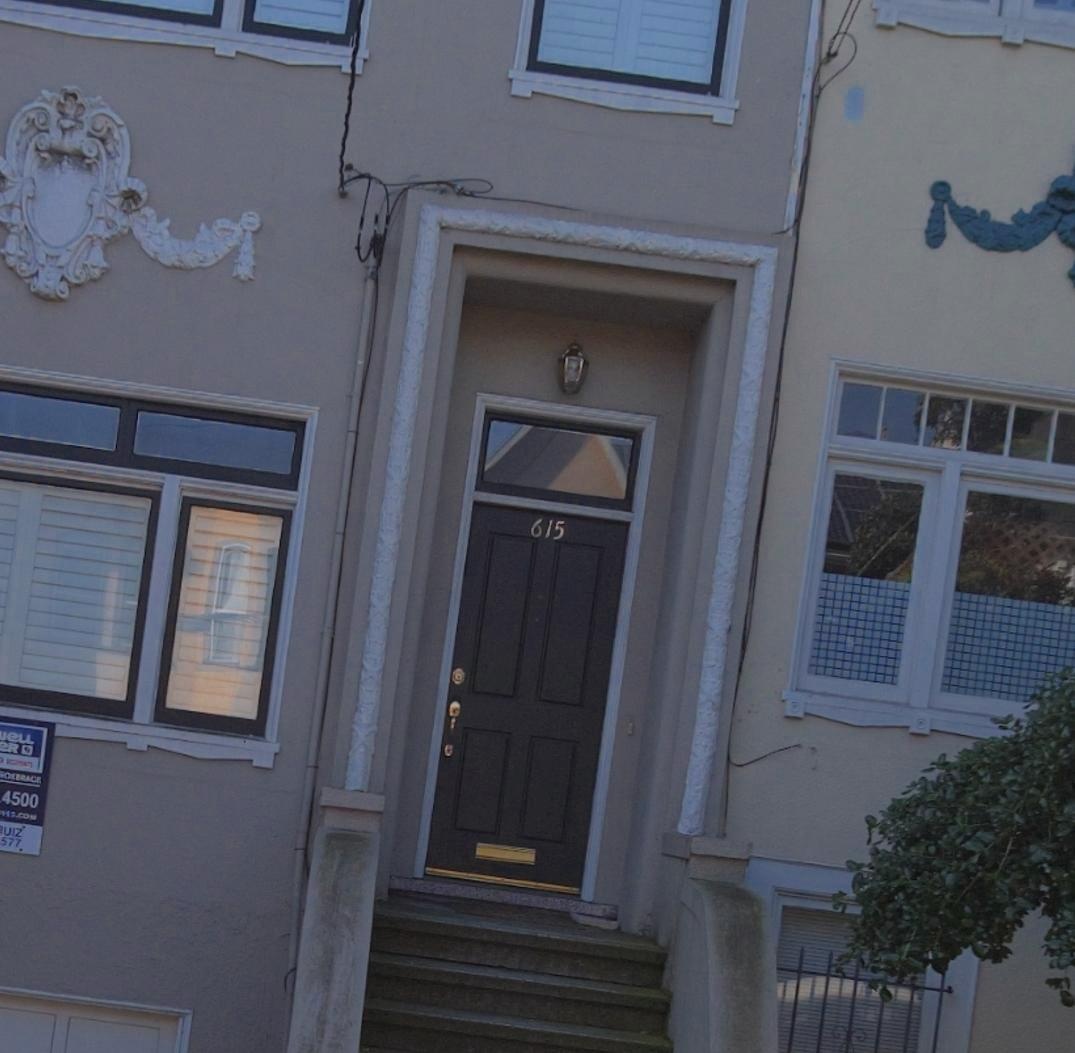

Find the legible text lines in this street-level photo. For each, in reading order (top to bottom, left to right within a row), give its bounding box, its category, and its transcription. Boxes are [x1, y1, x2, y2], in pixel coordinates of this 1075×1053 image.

[526, 500, 575, 544] StreetNumber: 615